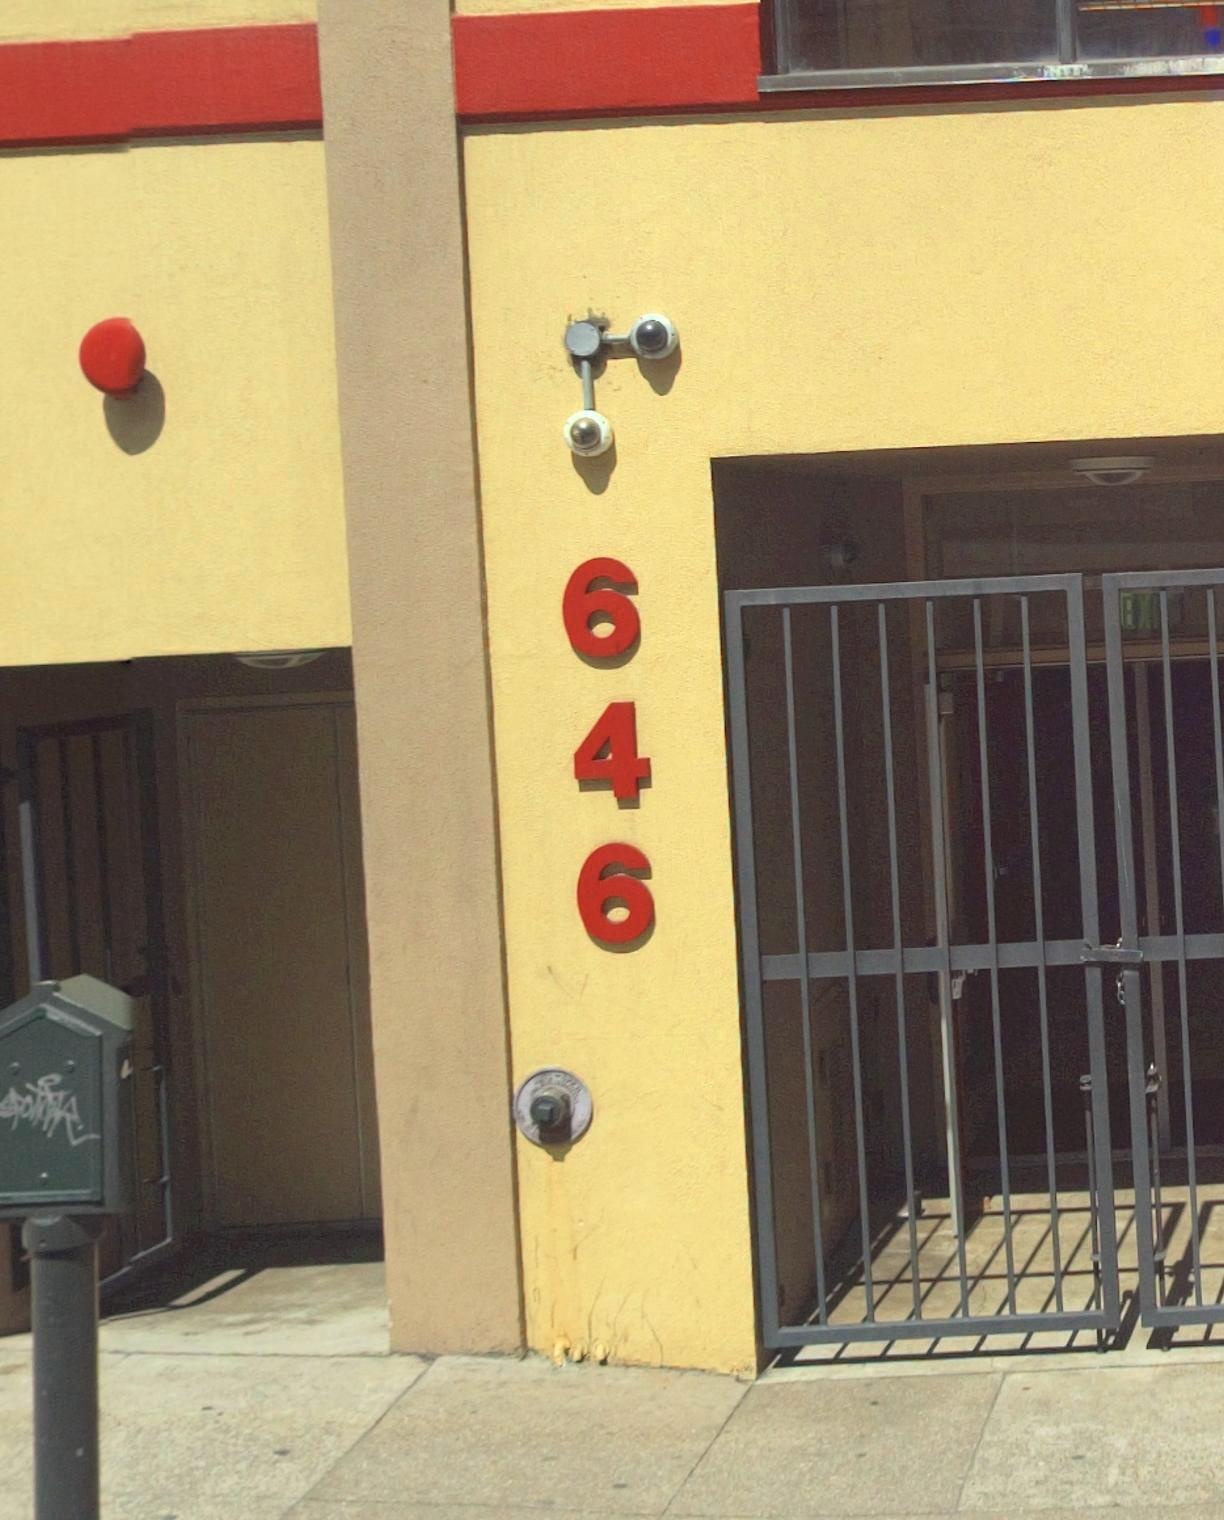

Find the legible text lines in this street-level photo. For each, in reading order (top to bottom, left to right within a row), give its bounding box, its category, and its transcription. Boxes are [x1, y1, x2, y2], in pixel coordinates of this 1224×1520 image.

[553, 549, 664, 952] StreetNumber: 646